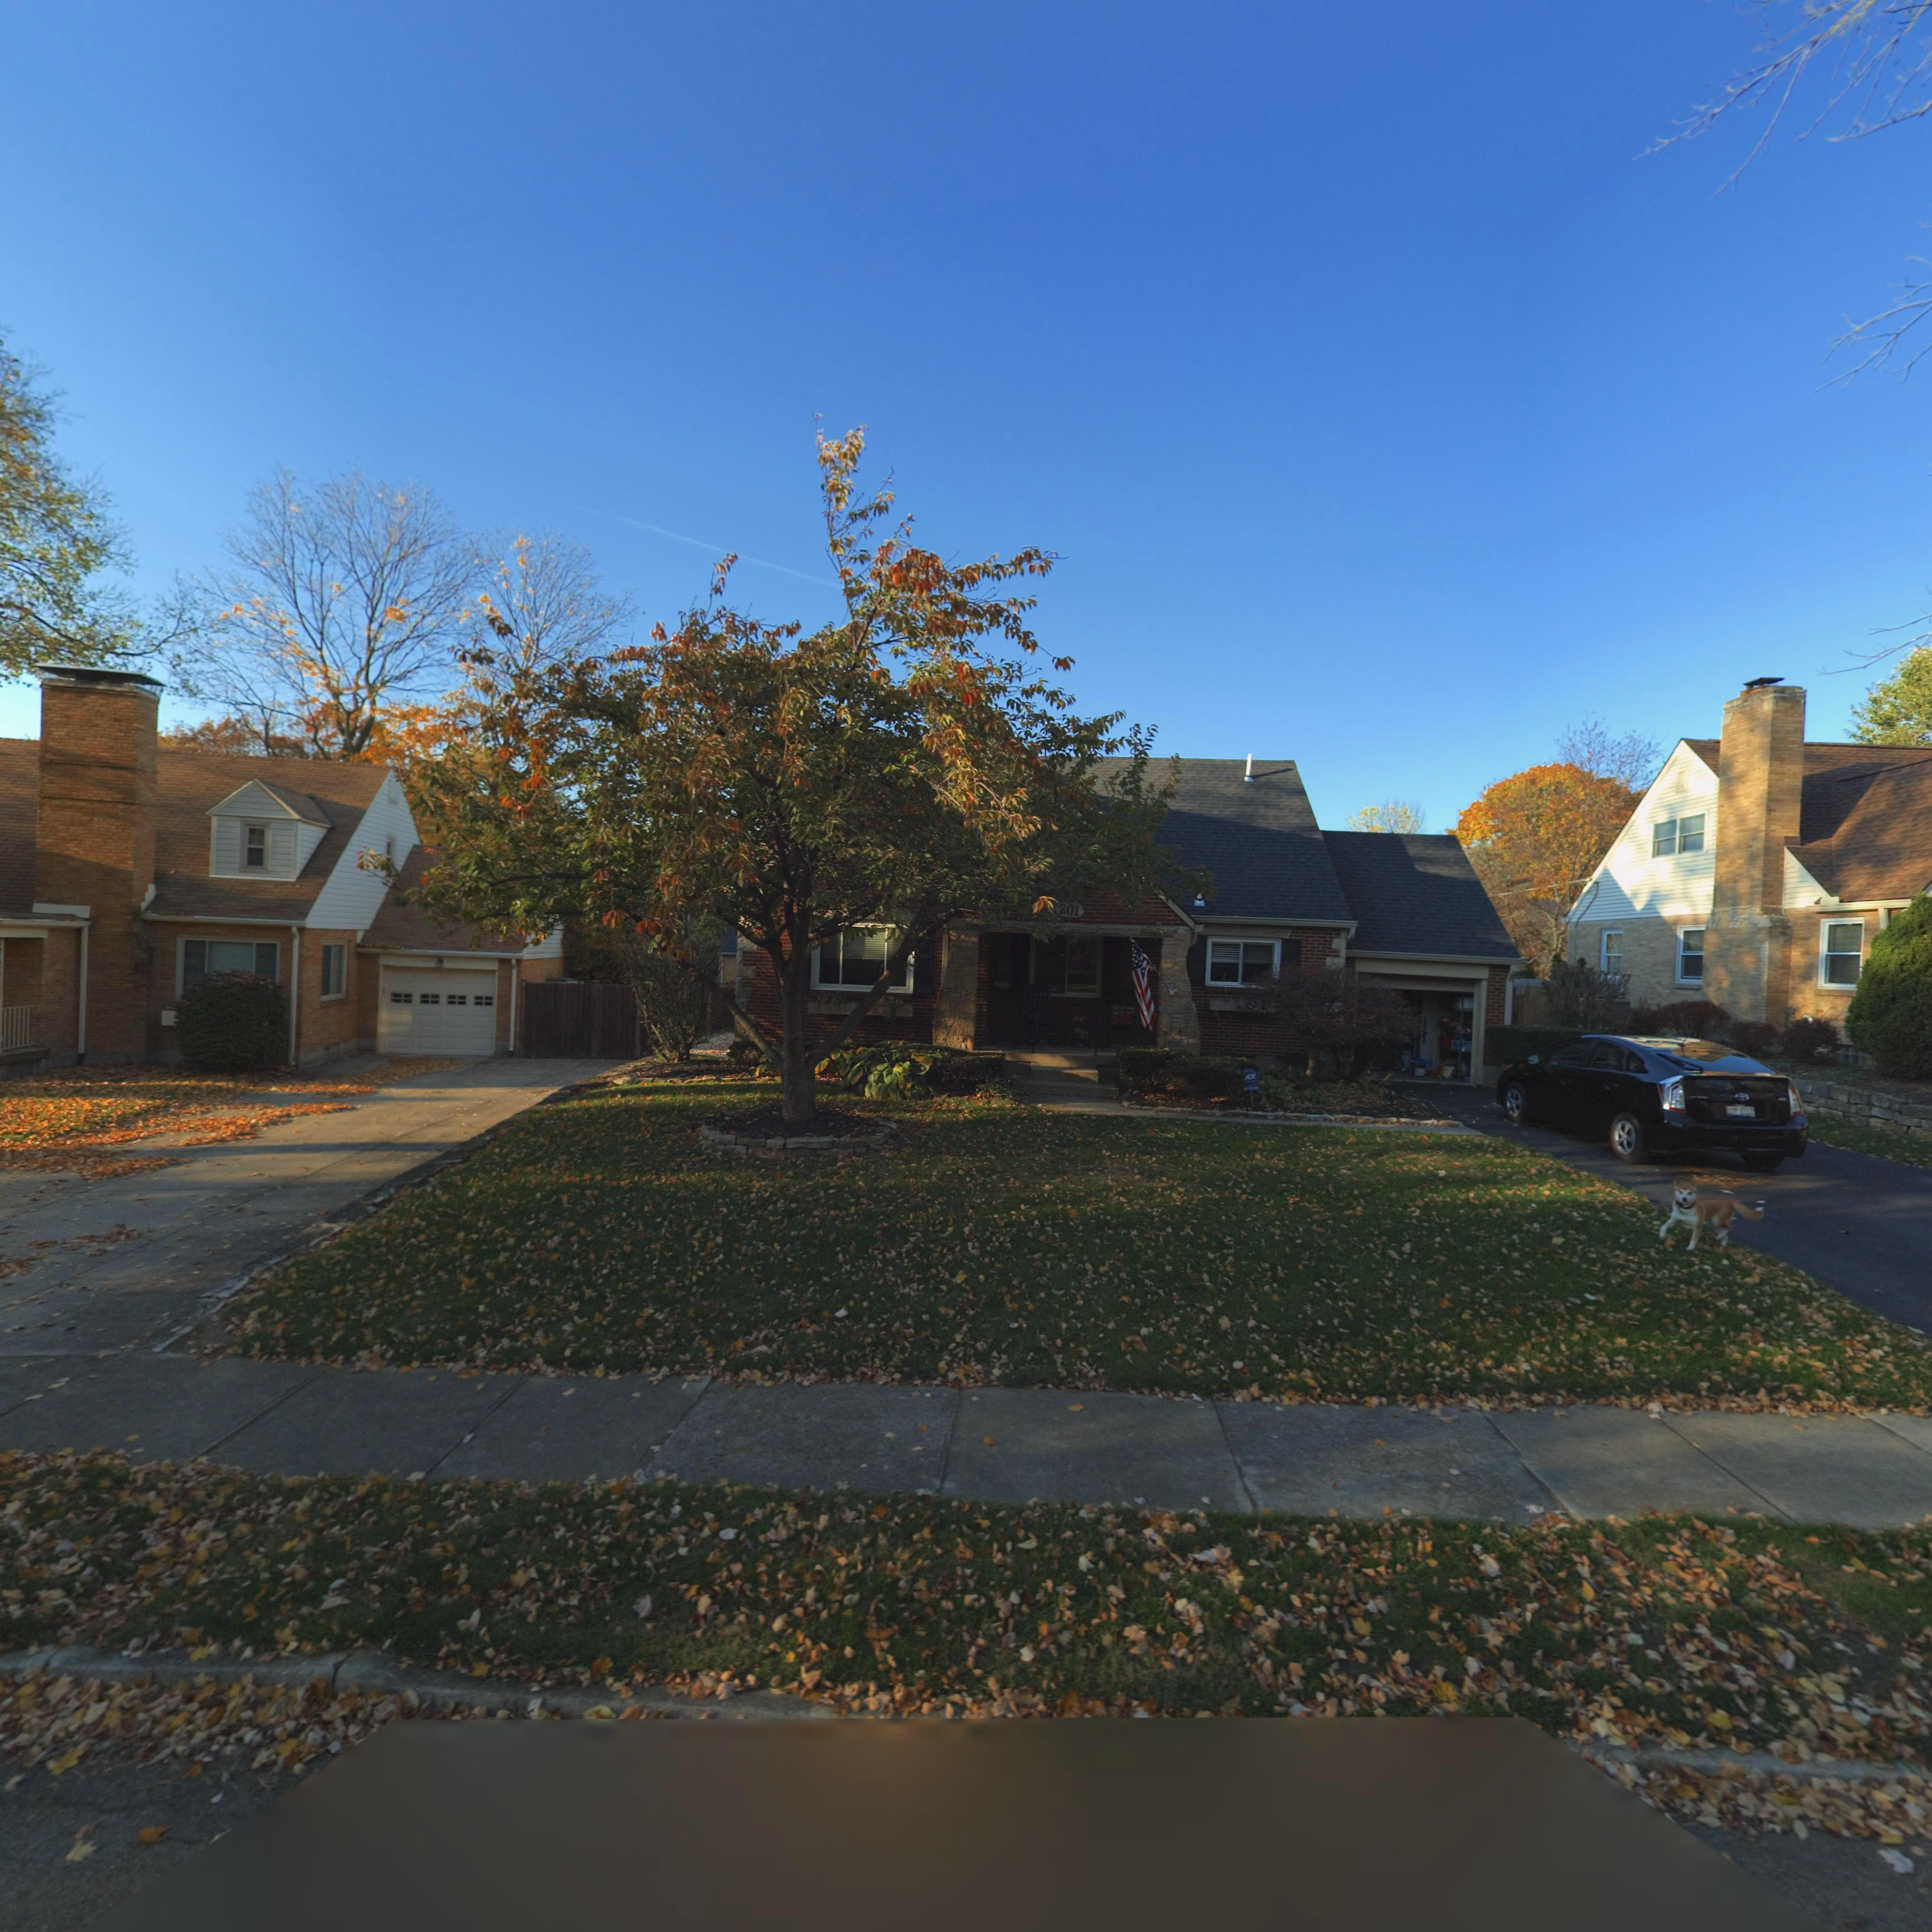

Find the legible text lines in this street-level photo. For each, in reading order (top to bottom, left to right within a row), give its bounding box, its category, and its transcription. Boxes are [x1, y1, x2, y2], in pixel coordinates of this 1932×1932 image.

[1058, 902, 1079, 917] StreetNumber: 201